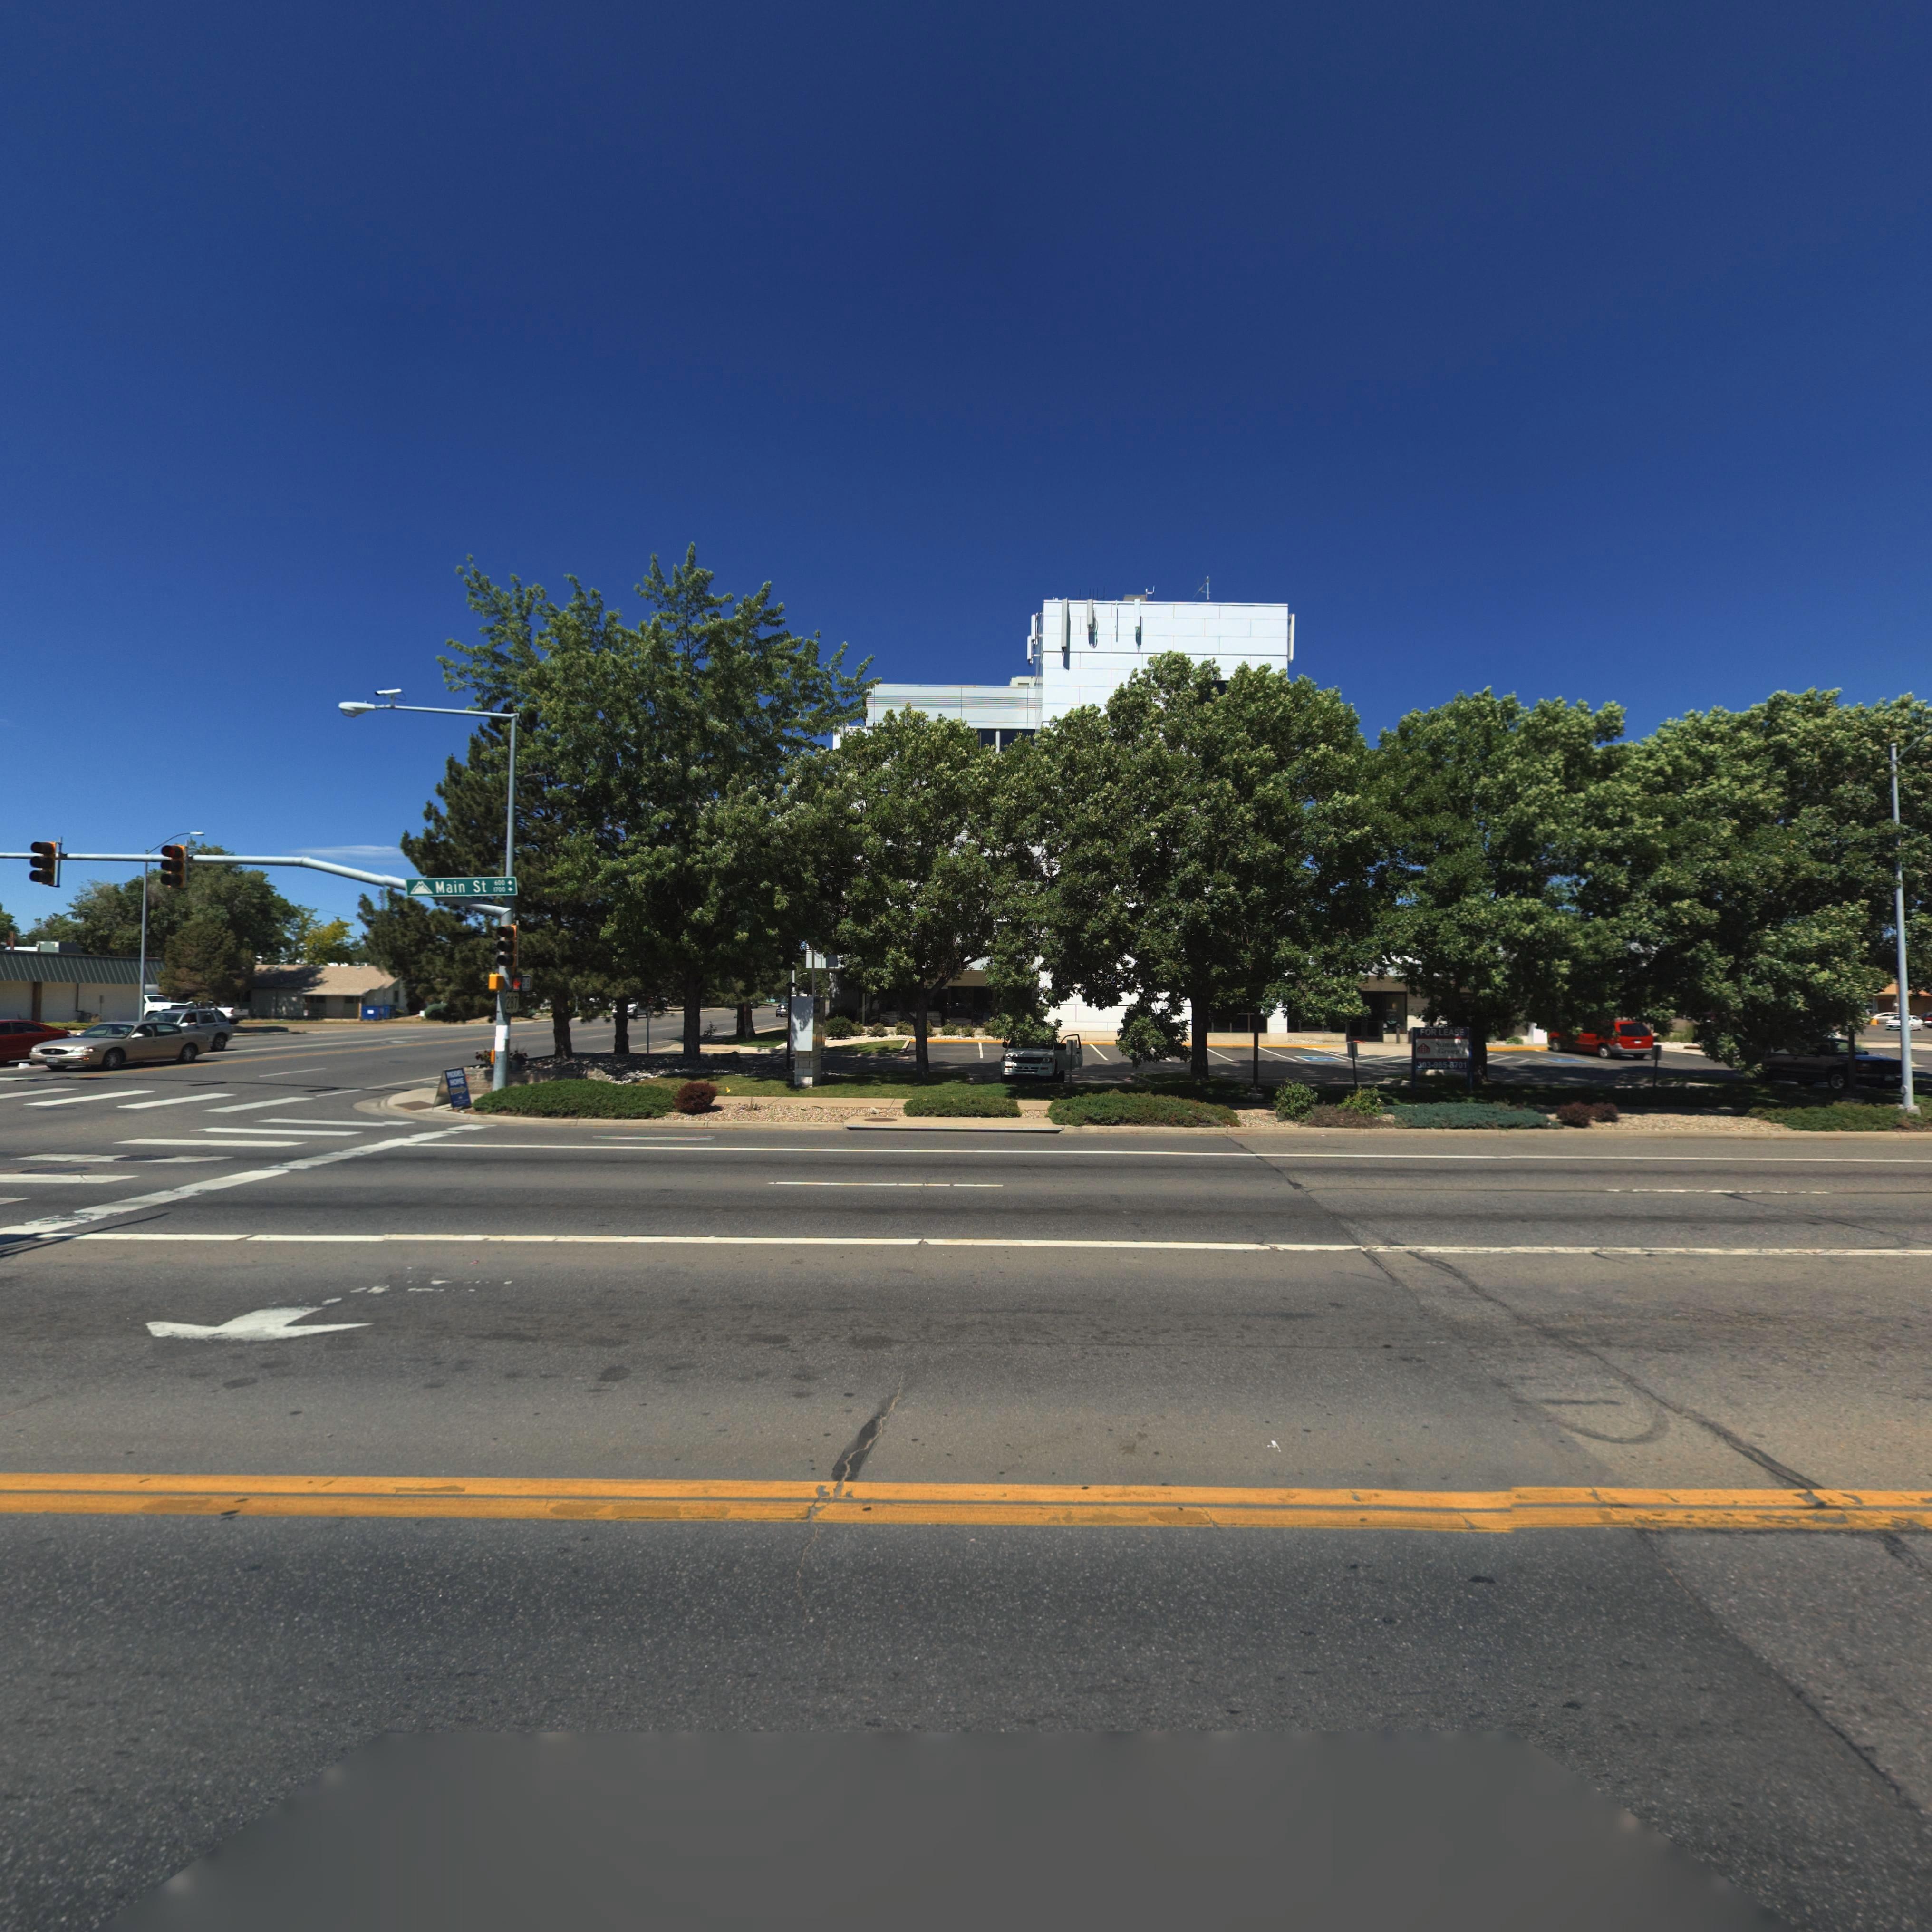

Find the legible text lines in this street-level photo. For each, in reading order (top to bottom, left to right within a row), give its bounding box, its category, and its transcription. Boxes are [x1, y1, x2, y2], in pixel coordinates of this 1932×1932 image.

[493, 879, 505, 885] StreetNumberRange: 600
[434, 880, 487, 894] StreetName: Main St
[493, 886, 513, 892] StreetNumberRange: 1700 ->